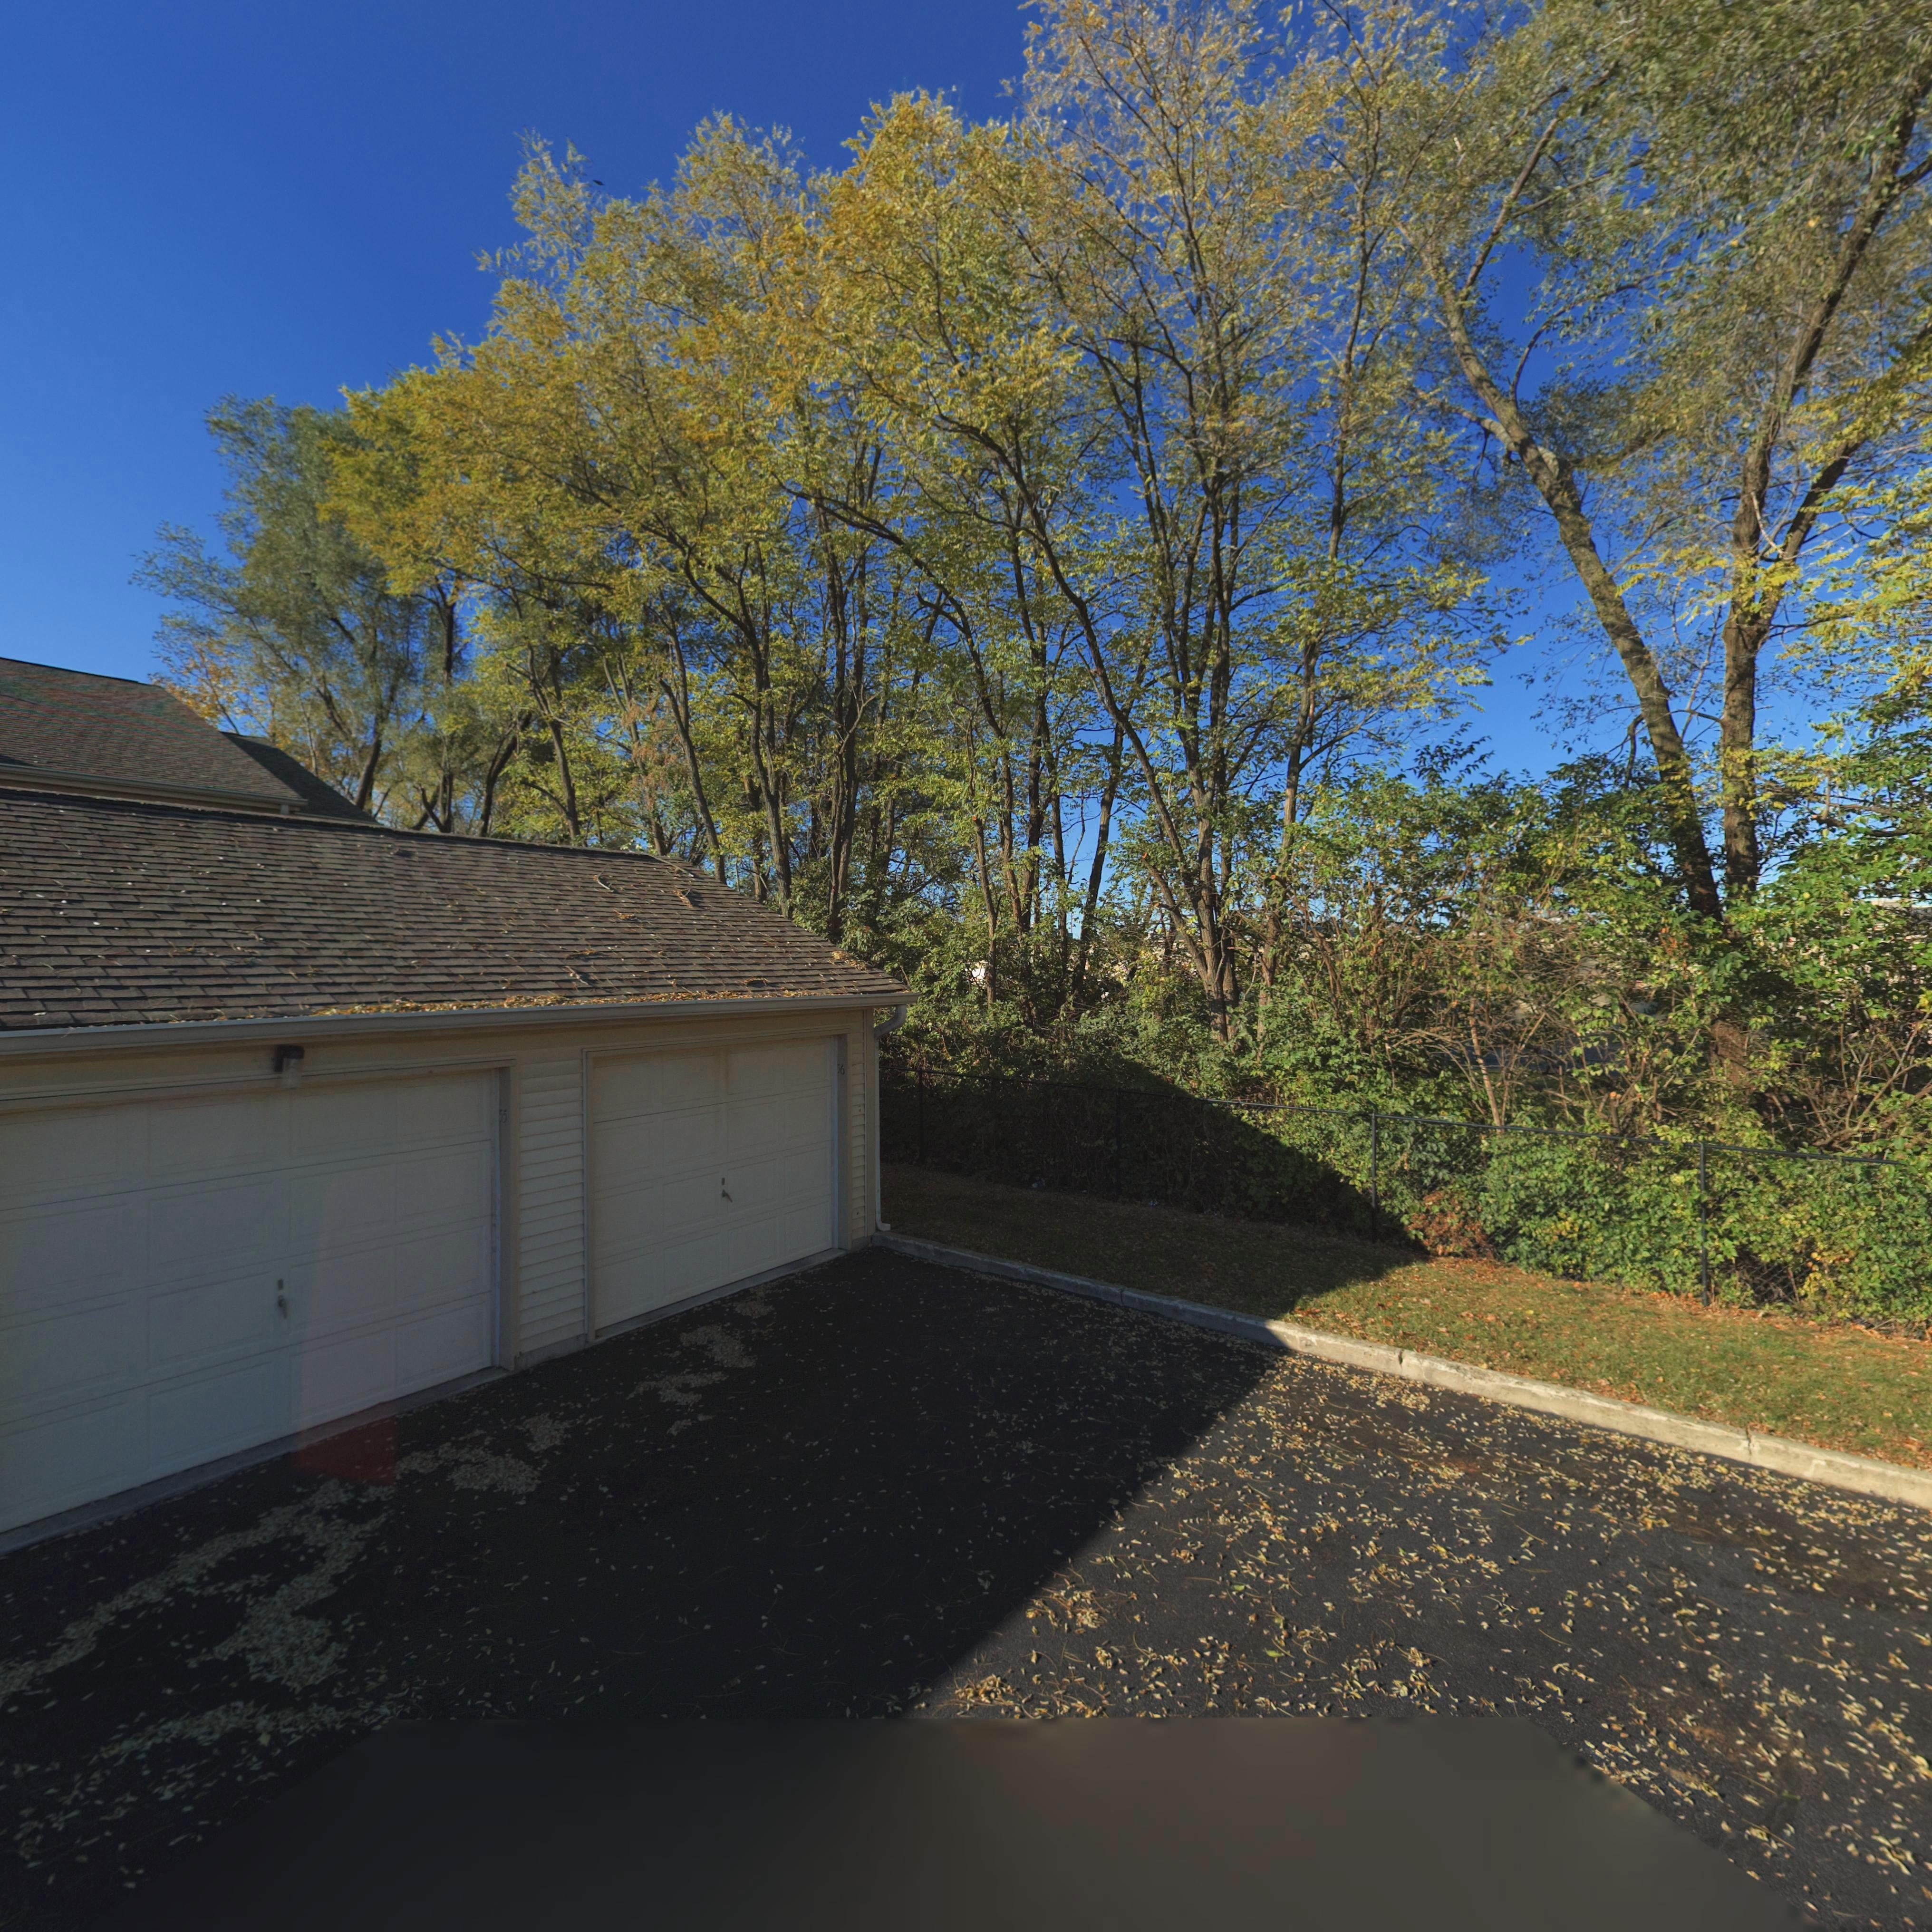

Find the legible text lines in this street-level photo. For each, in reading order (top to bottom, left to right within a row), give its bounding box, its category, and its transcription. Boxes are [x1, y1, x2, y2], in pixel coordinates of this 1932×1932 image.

[837, 1063, 845, 1075] StreetNumber: 56
[498, 1107, 508, 1124] StreetNumber: 55